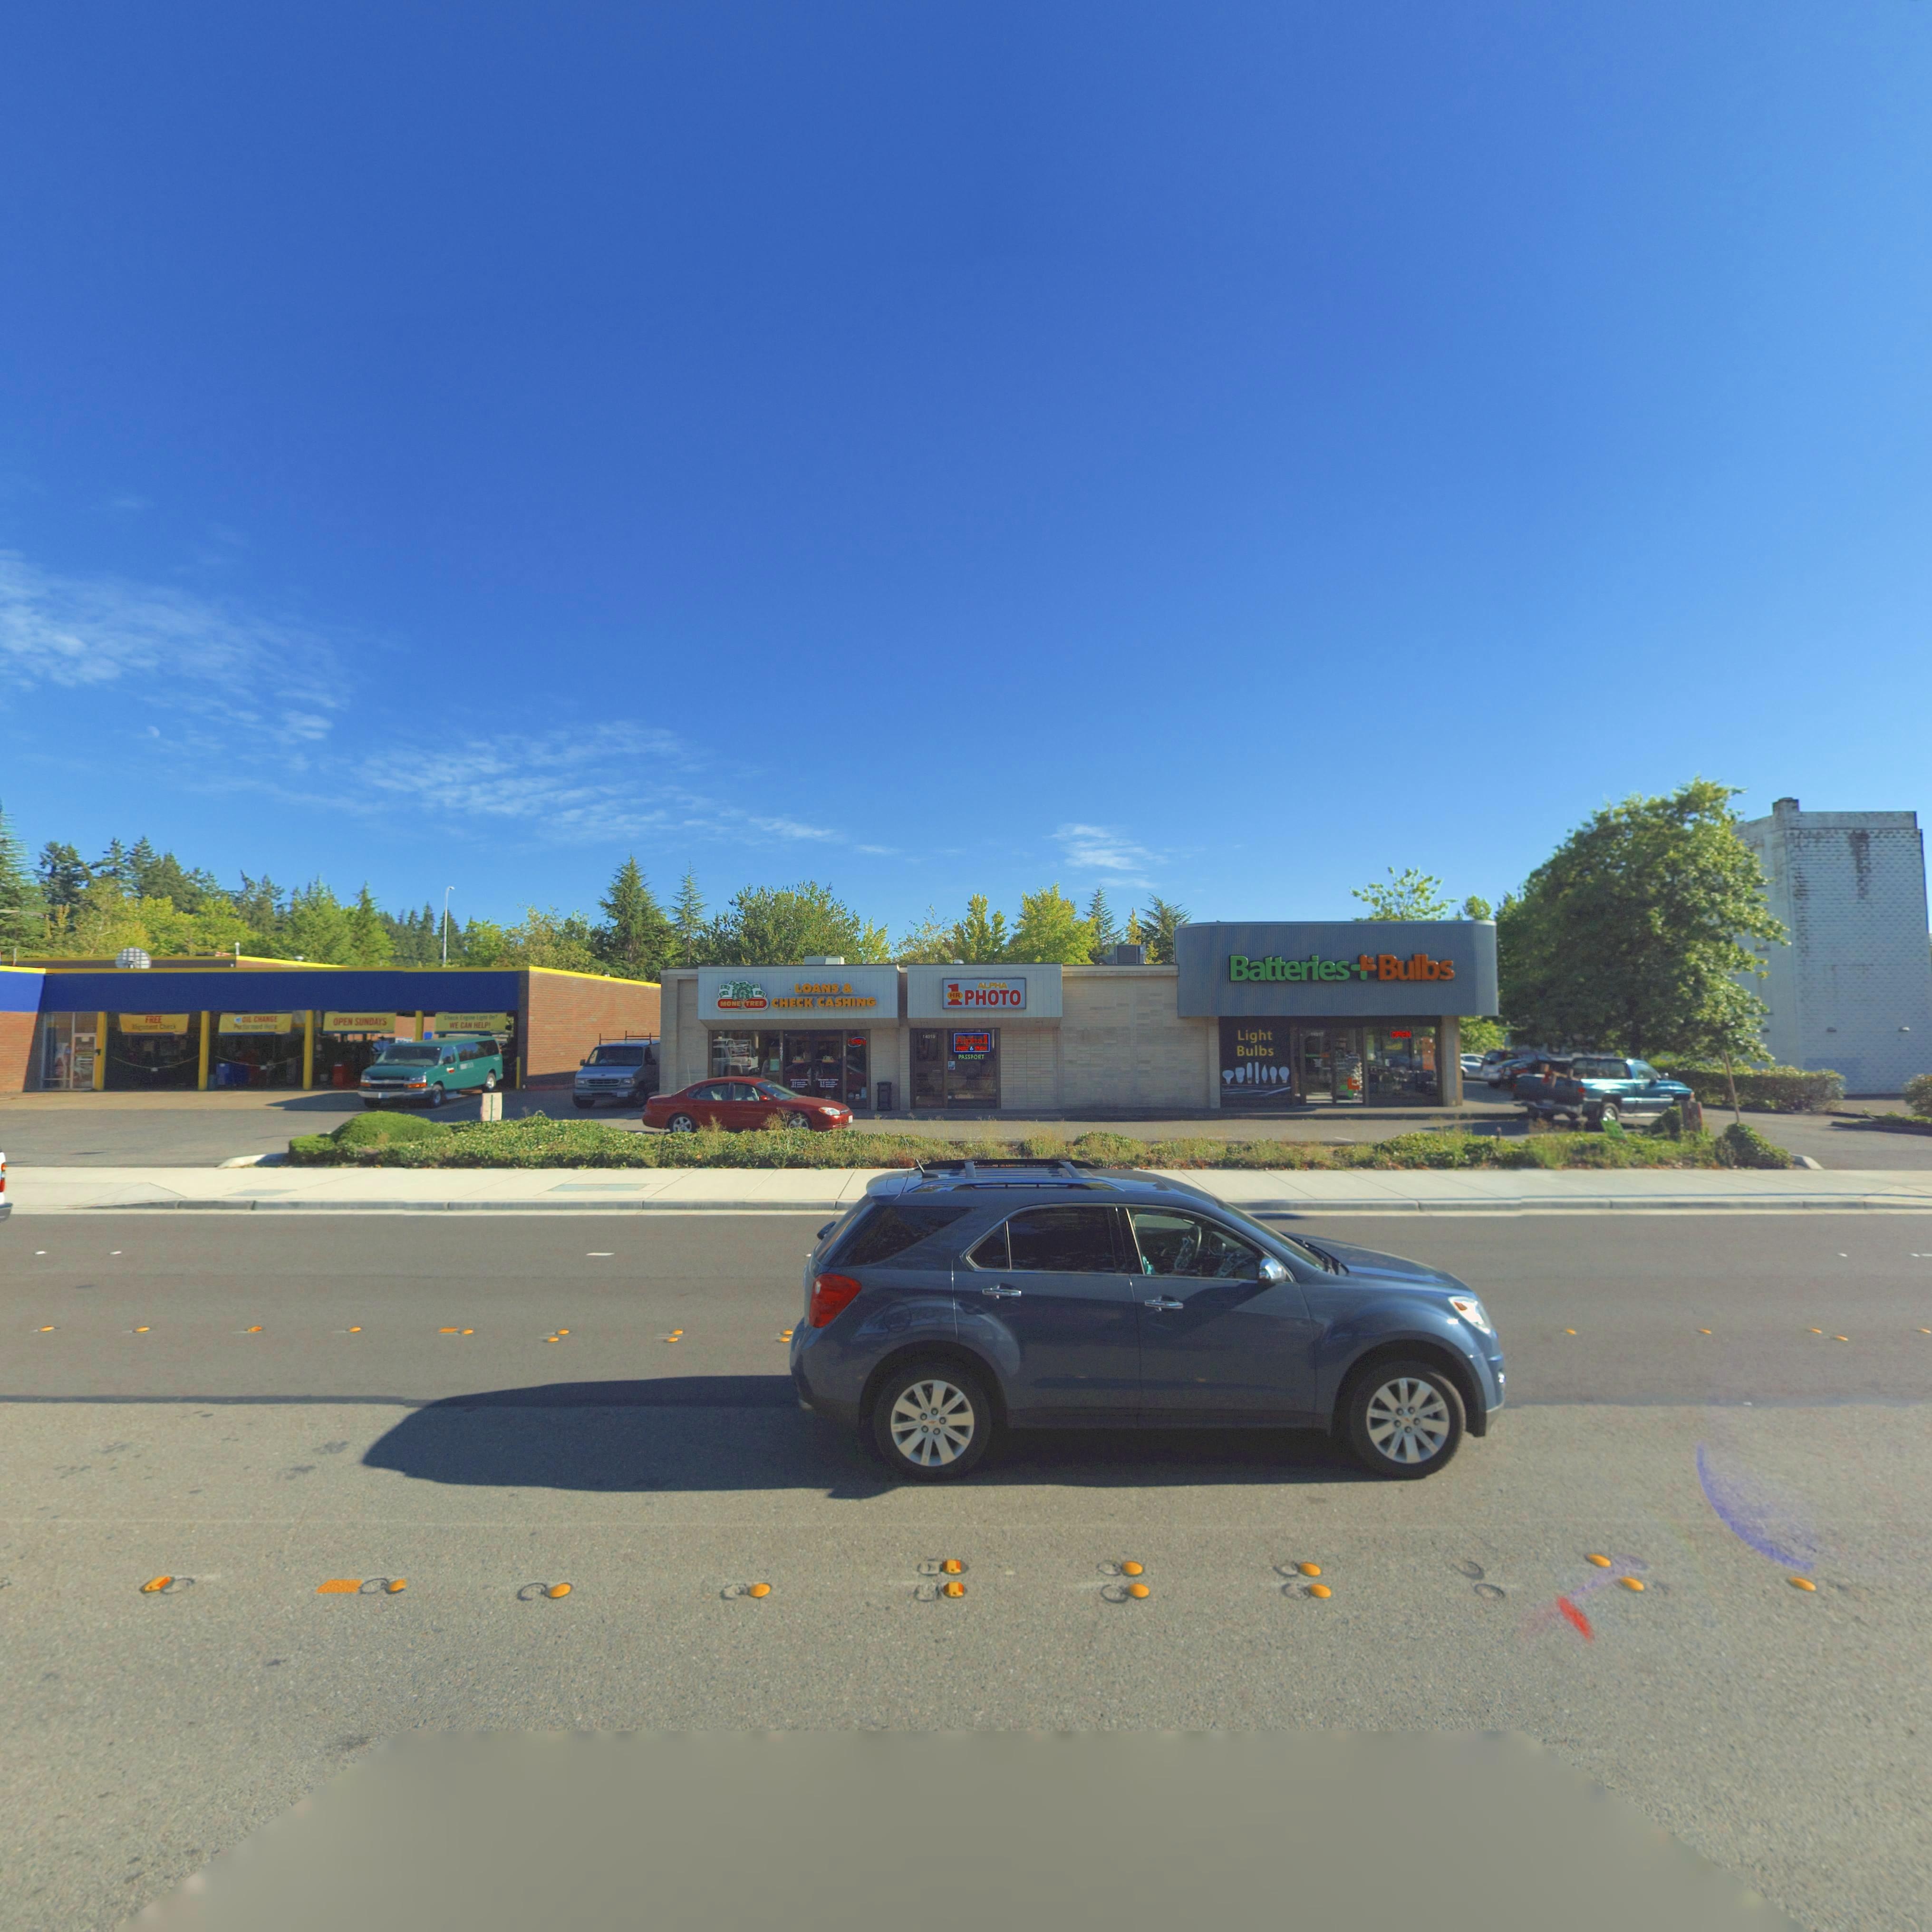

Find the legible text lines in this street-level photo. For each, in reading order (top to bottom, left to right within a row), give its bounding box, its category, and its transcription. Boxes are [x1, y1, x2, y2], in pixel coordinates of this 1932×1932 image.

[1230, 953, 1458, 983] BusinessName: Batteries*Bulbs
[795, 983, 839, 994] BusinessName: LOANS
[975, 981, 1007, 989] BusinessName: ALPHA
[949, 992, 960, 998] BusinessName: HR
[964, 989, 1021, 1005] BusinessName: PHOTO
[720, 1000, 764, 1007] BusinessName: MON**TREE
[772, 998, 876, 1007] BusinessName: CHECK CASHING
[922, 1034, 936, 1039] StreetNumber: 1**1*
[957, 1034, 989, 1045] BusinessName: Alpha1